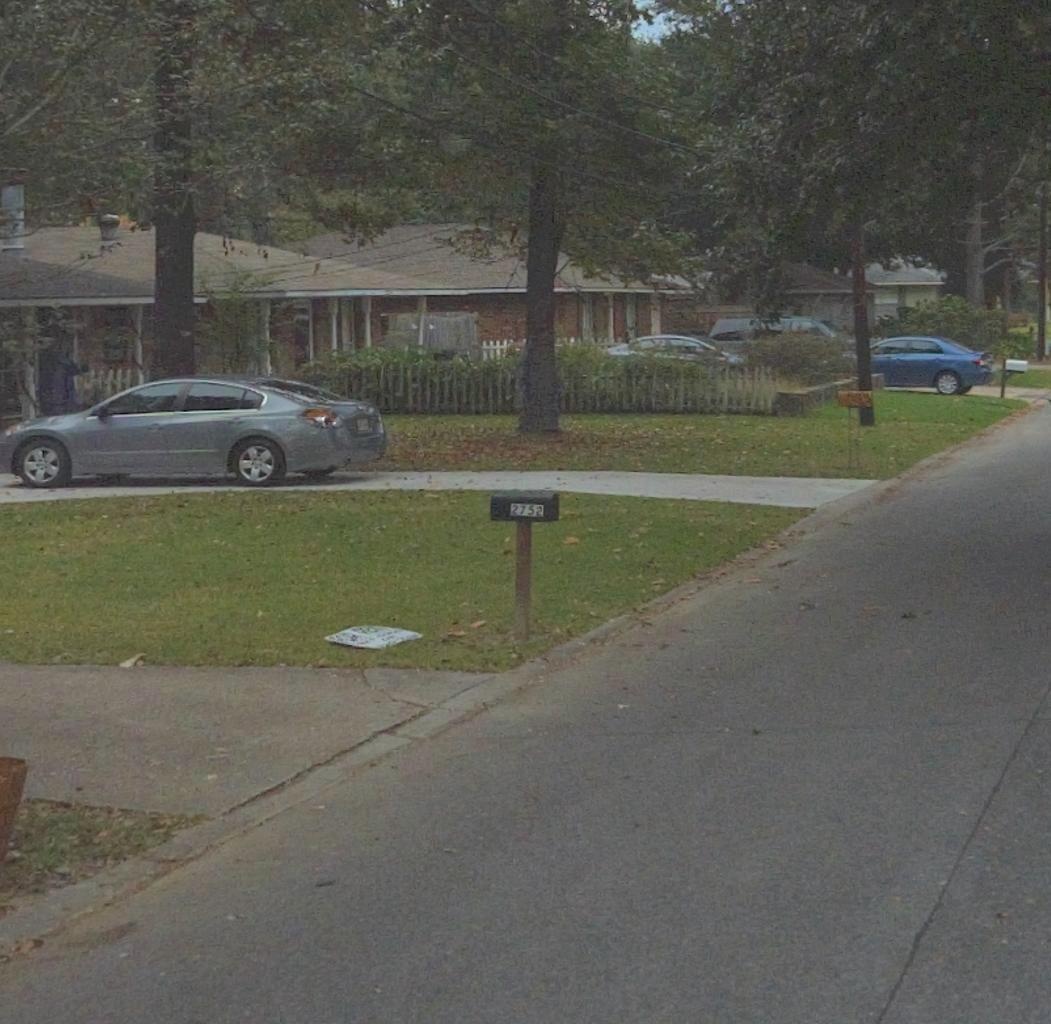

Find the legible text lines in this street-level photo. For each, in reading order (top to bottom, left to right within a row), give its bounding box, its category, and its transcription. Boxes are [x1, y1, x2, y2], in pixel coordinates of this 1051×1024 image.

[511, 504, 544, 516] StreetNumber: 2752